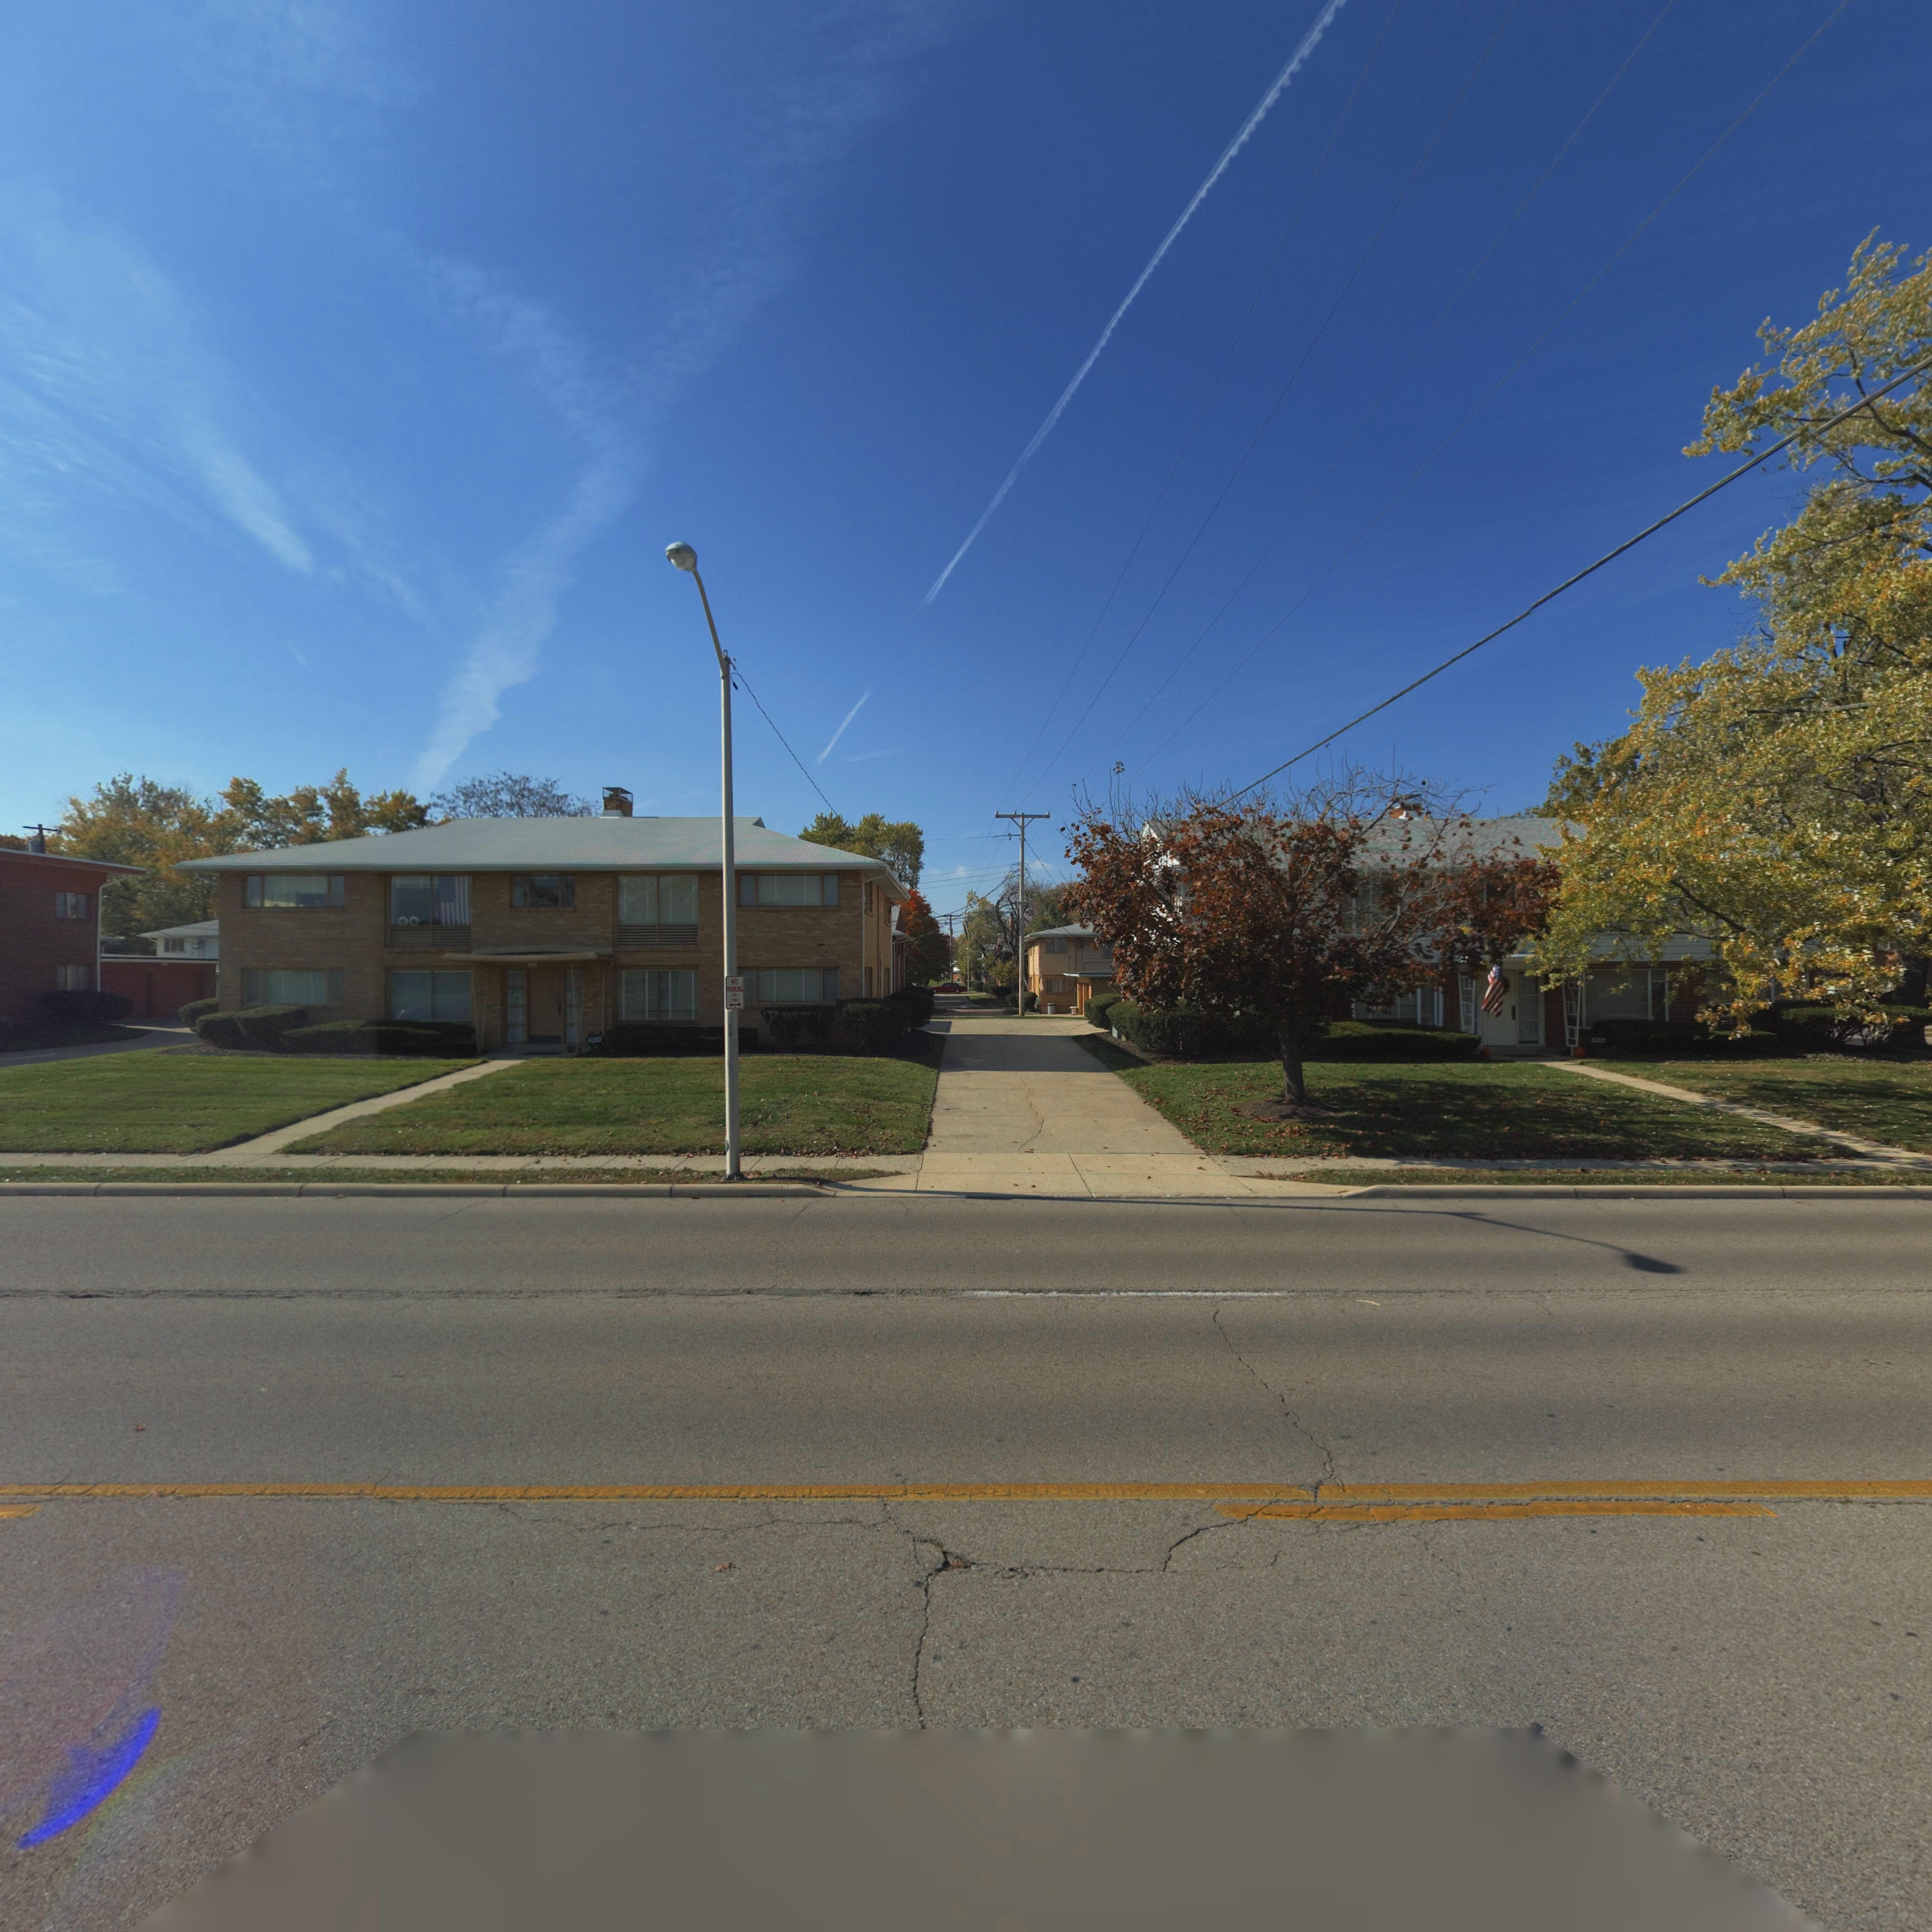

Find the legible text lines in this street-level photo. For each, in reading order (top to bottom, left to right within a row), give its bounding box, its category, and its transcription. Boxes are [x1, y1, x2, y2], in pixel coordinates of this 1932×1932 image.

[731, 978, 738, 985] None: NO
[726, 985, 744, 993] None: PARKING
[731, 993, 739, 997] None: ANY
[730, 997, 740, 1003] None: TI*E
[587, 1036, 602, 1043] StreetNumber: 4207
[1590, 1037, 1607, 1043] StreetNumber: 4201